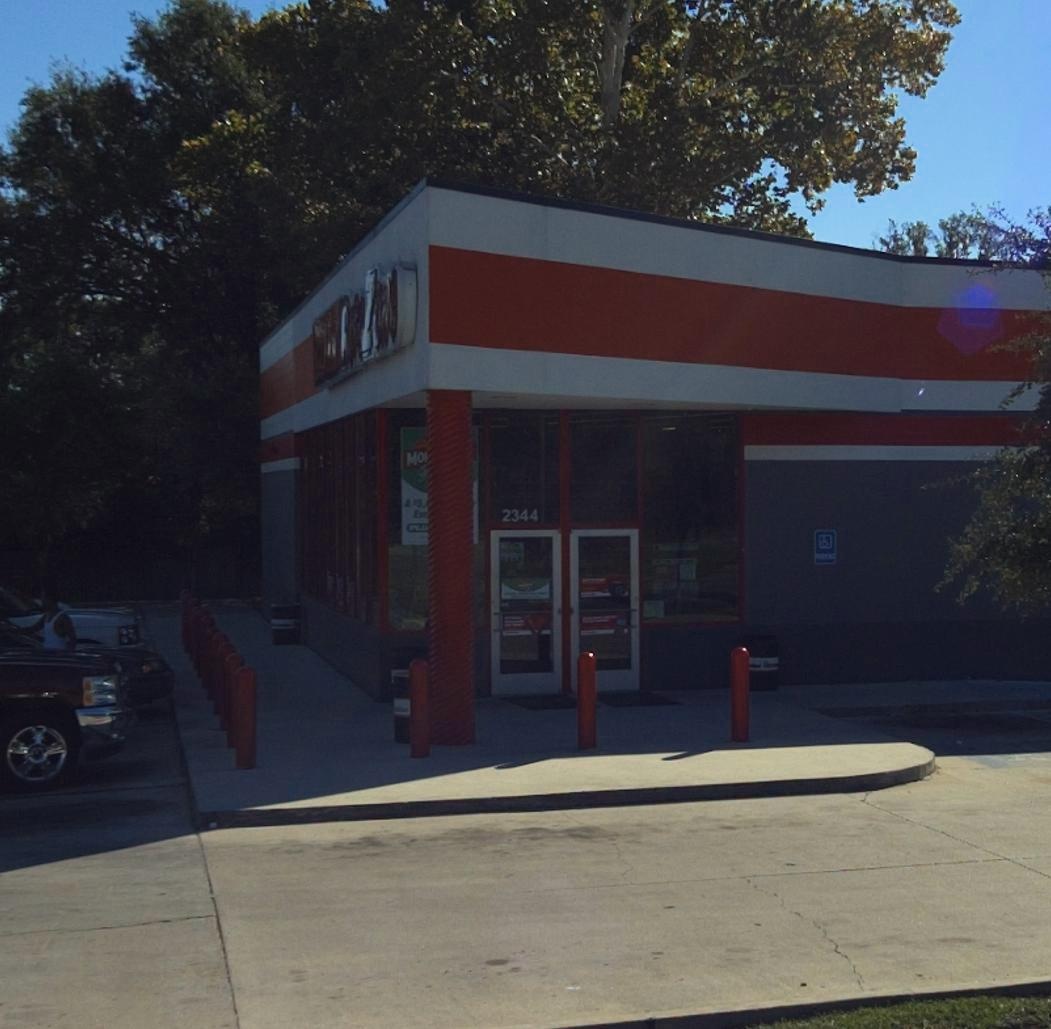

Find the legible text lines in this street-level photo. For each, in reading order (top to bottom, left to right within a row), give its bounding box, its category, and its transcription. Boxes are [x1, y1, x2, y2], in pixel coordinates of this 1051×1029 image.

[500, 506, 541, 524] StreetNumber: 2344